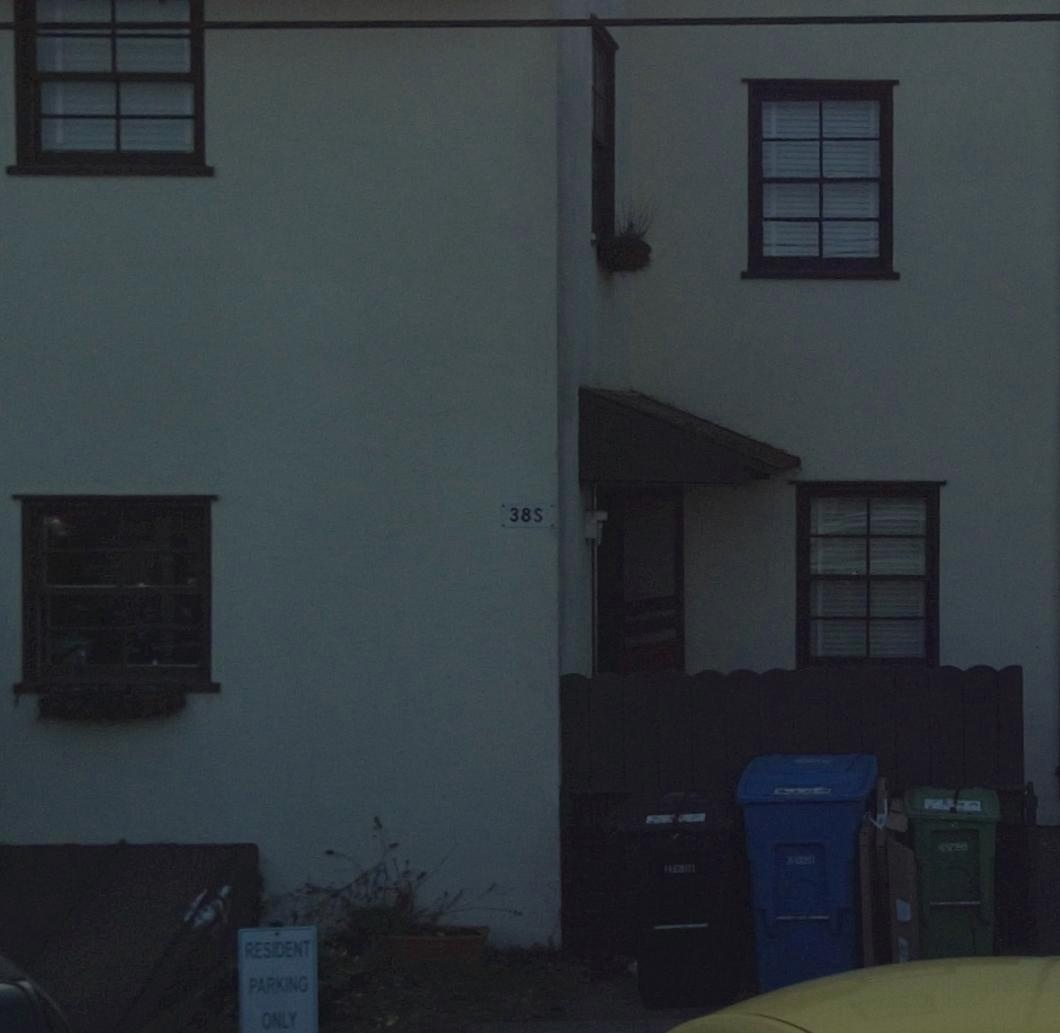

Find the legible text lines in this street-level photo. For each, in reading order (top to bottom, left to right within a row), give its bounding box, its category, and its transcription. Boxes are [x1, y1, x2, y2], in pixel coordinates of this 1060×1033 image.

[507, 505, 545, 525] StreetNumber: 38S
[242, 937, 315, 963] None: RESIDENT
[247, 972, 311, 998] None: PARKING
[258, 1008, 302, 1032] None: ONLY